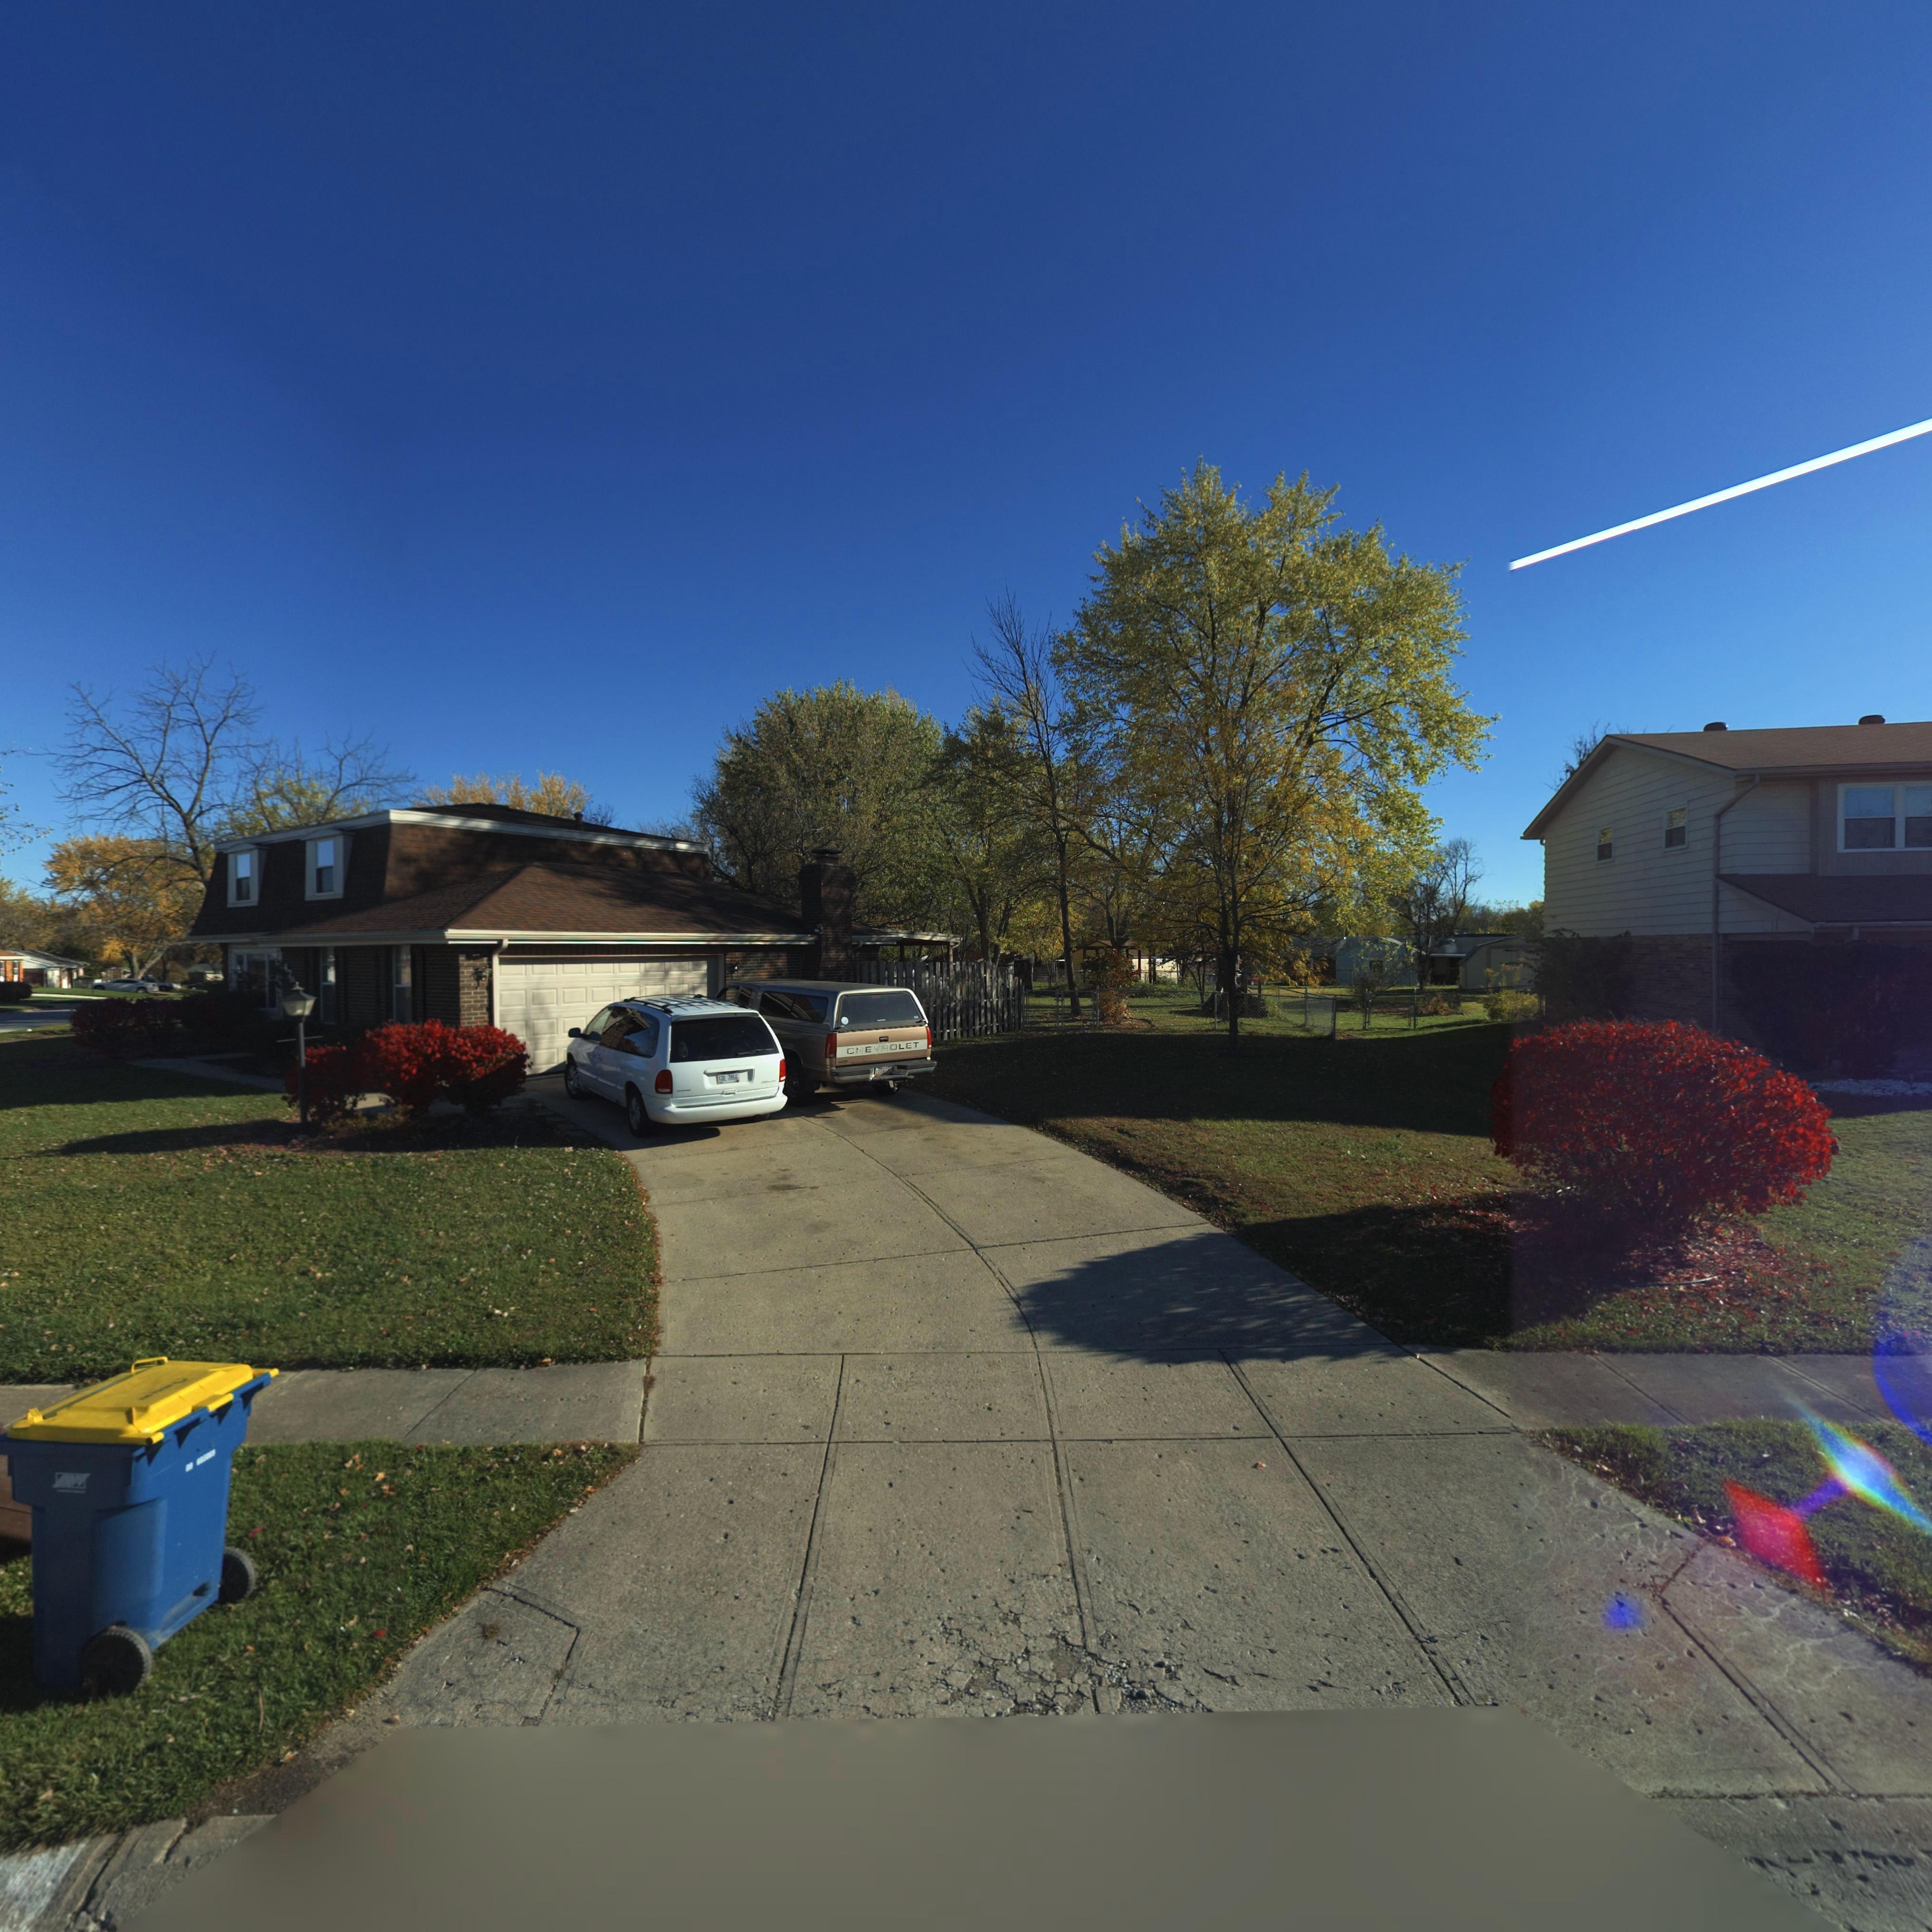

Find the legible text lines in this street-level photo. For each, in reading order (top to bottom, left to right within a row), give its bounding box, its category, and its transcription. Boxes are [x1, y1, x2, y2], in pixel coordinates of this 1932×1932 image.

[282, 961, 297, 985] StreetNumber: *7*